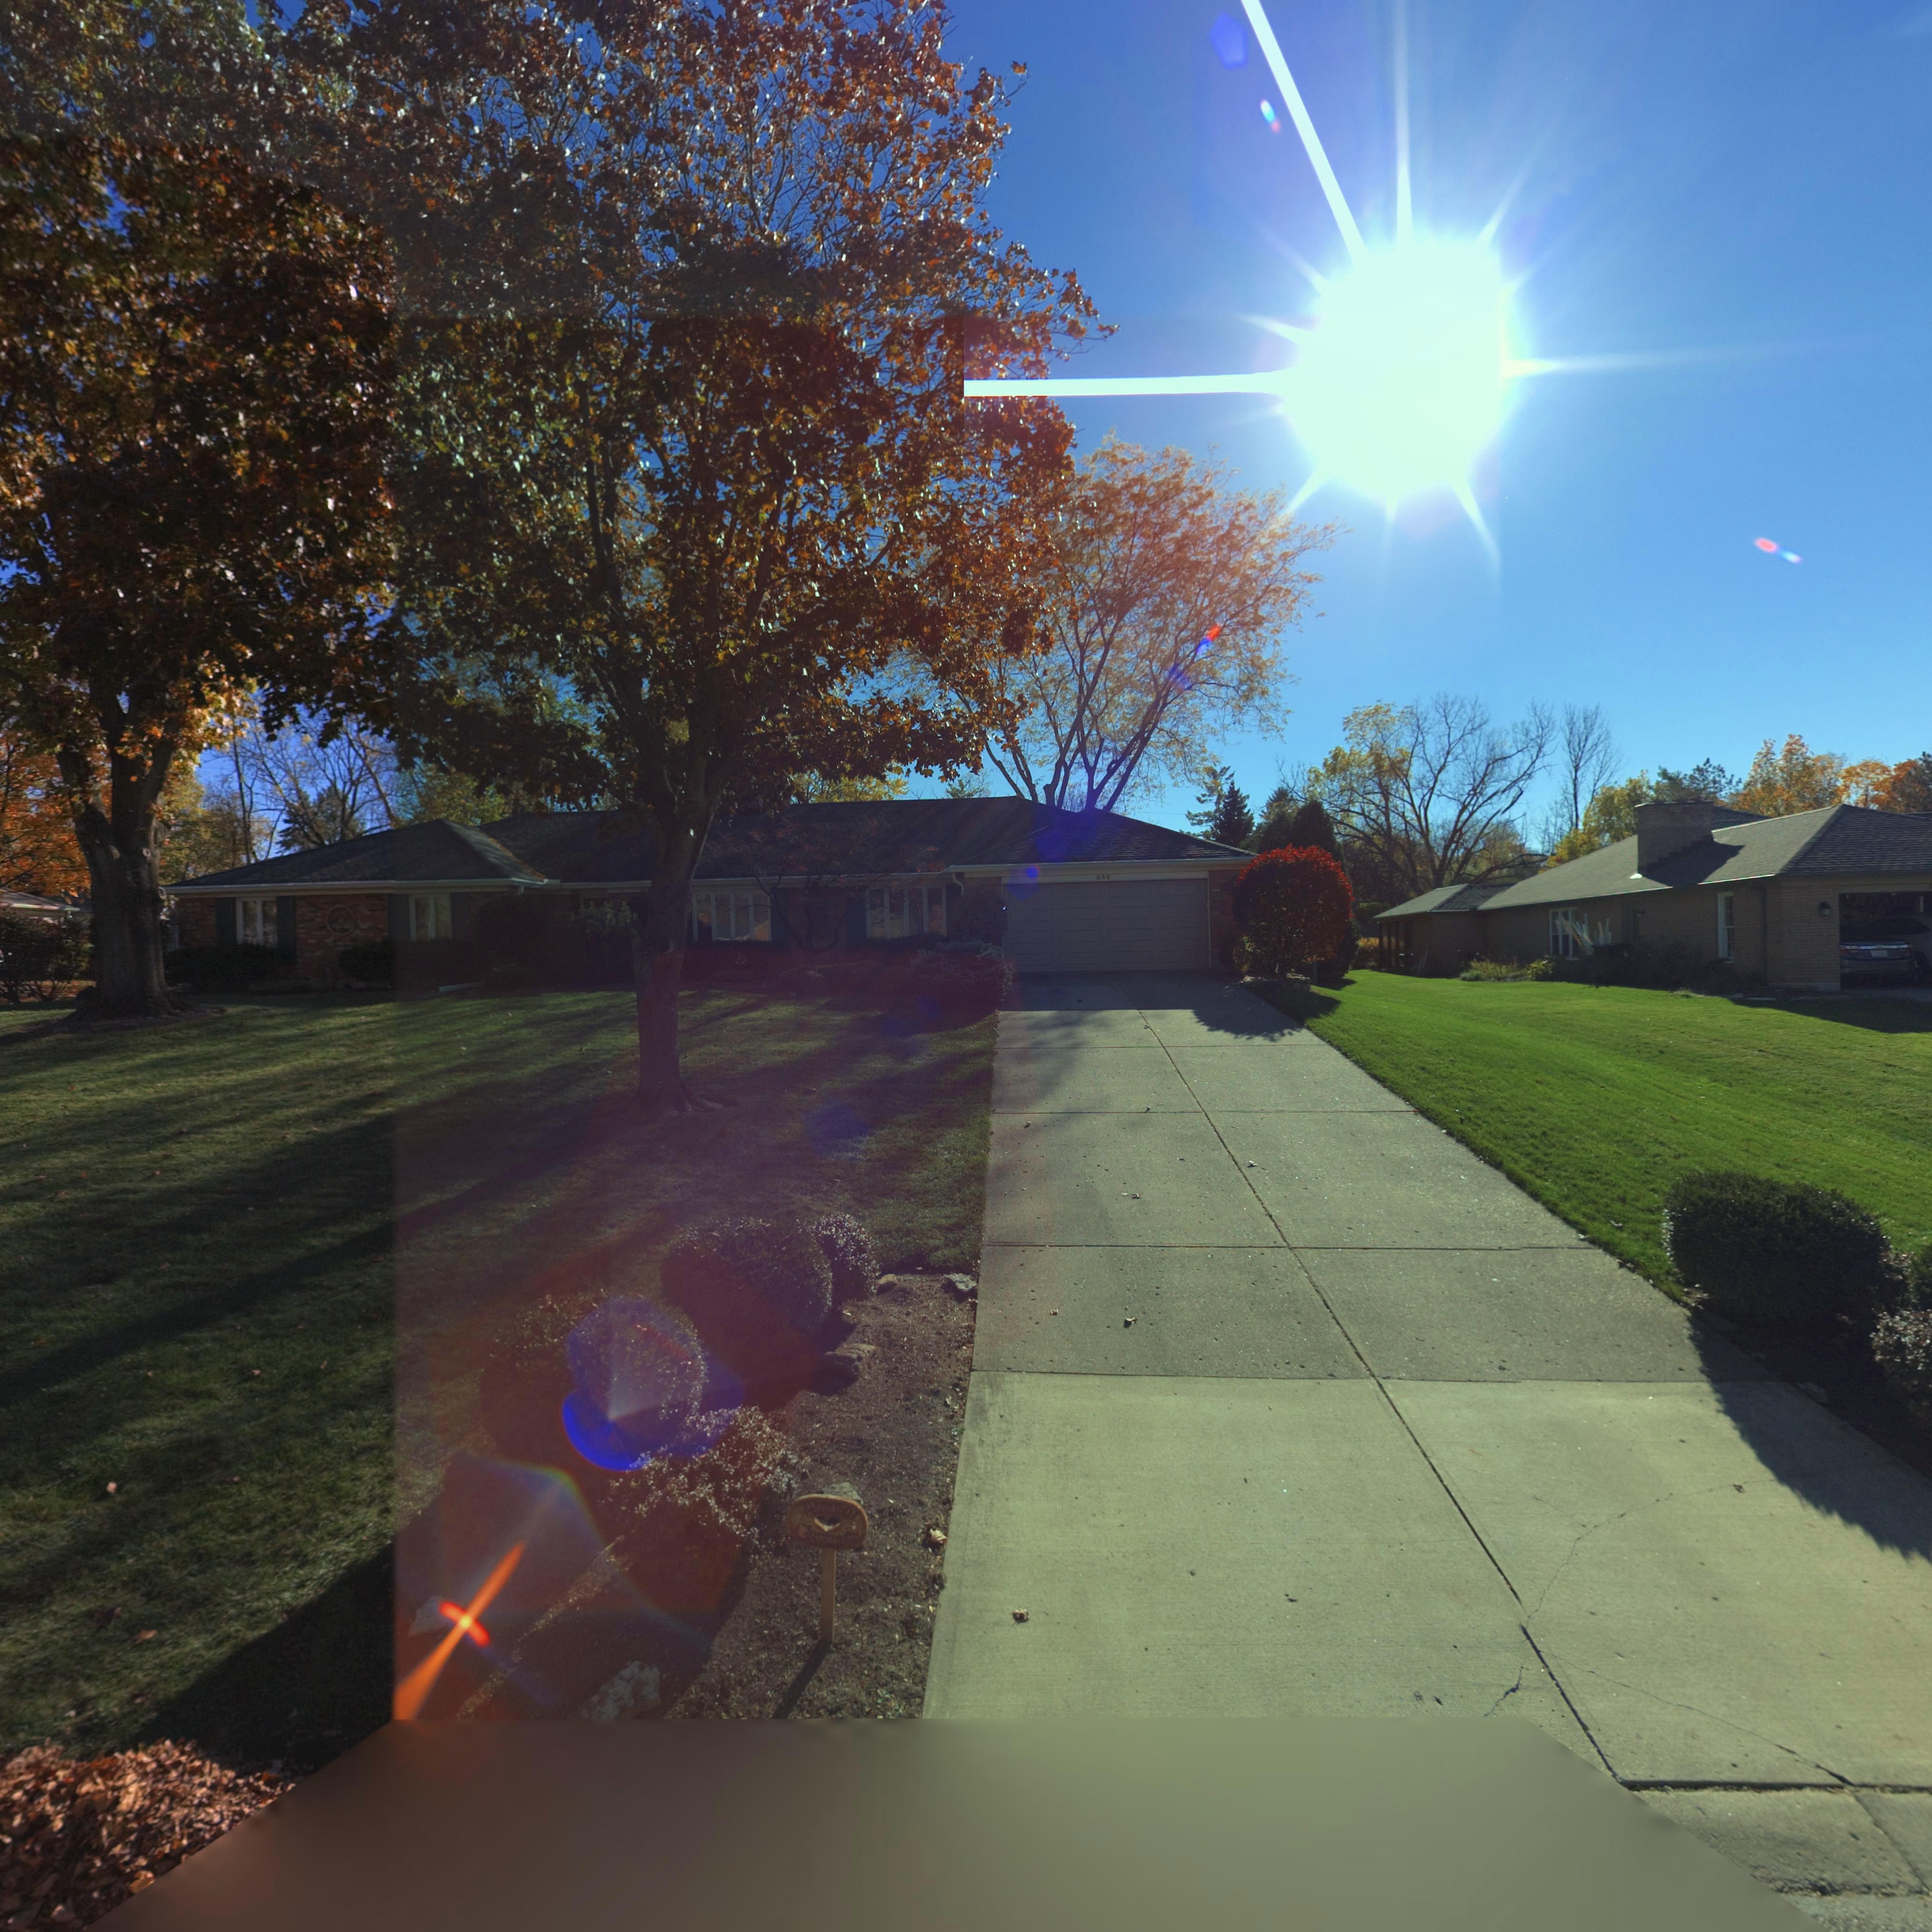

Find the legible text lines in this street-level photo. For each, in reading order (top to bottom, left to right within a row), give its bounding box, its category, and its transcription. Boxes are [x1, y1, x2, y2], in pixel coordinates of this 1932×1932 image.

[1096, 874, 1111, 880] StreetNumber: 646